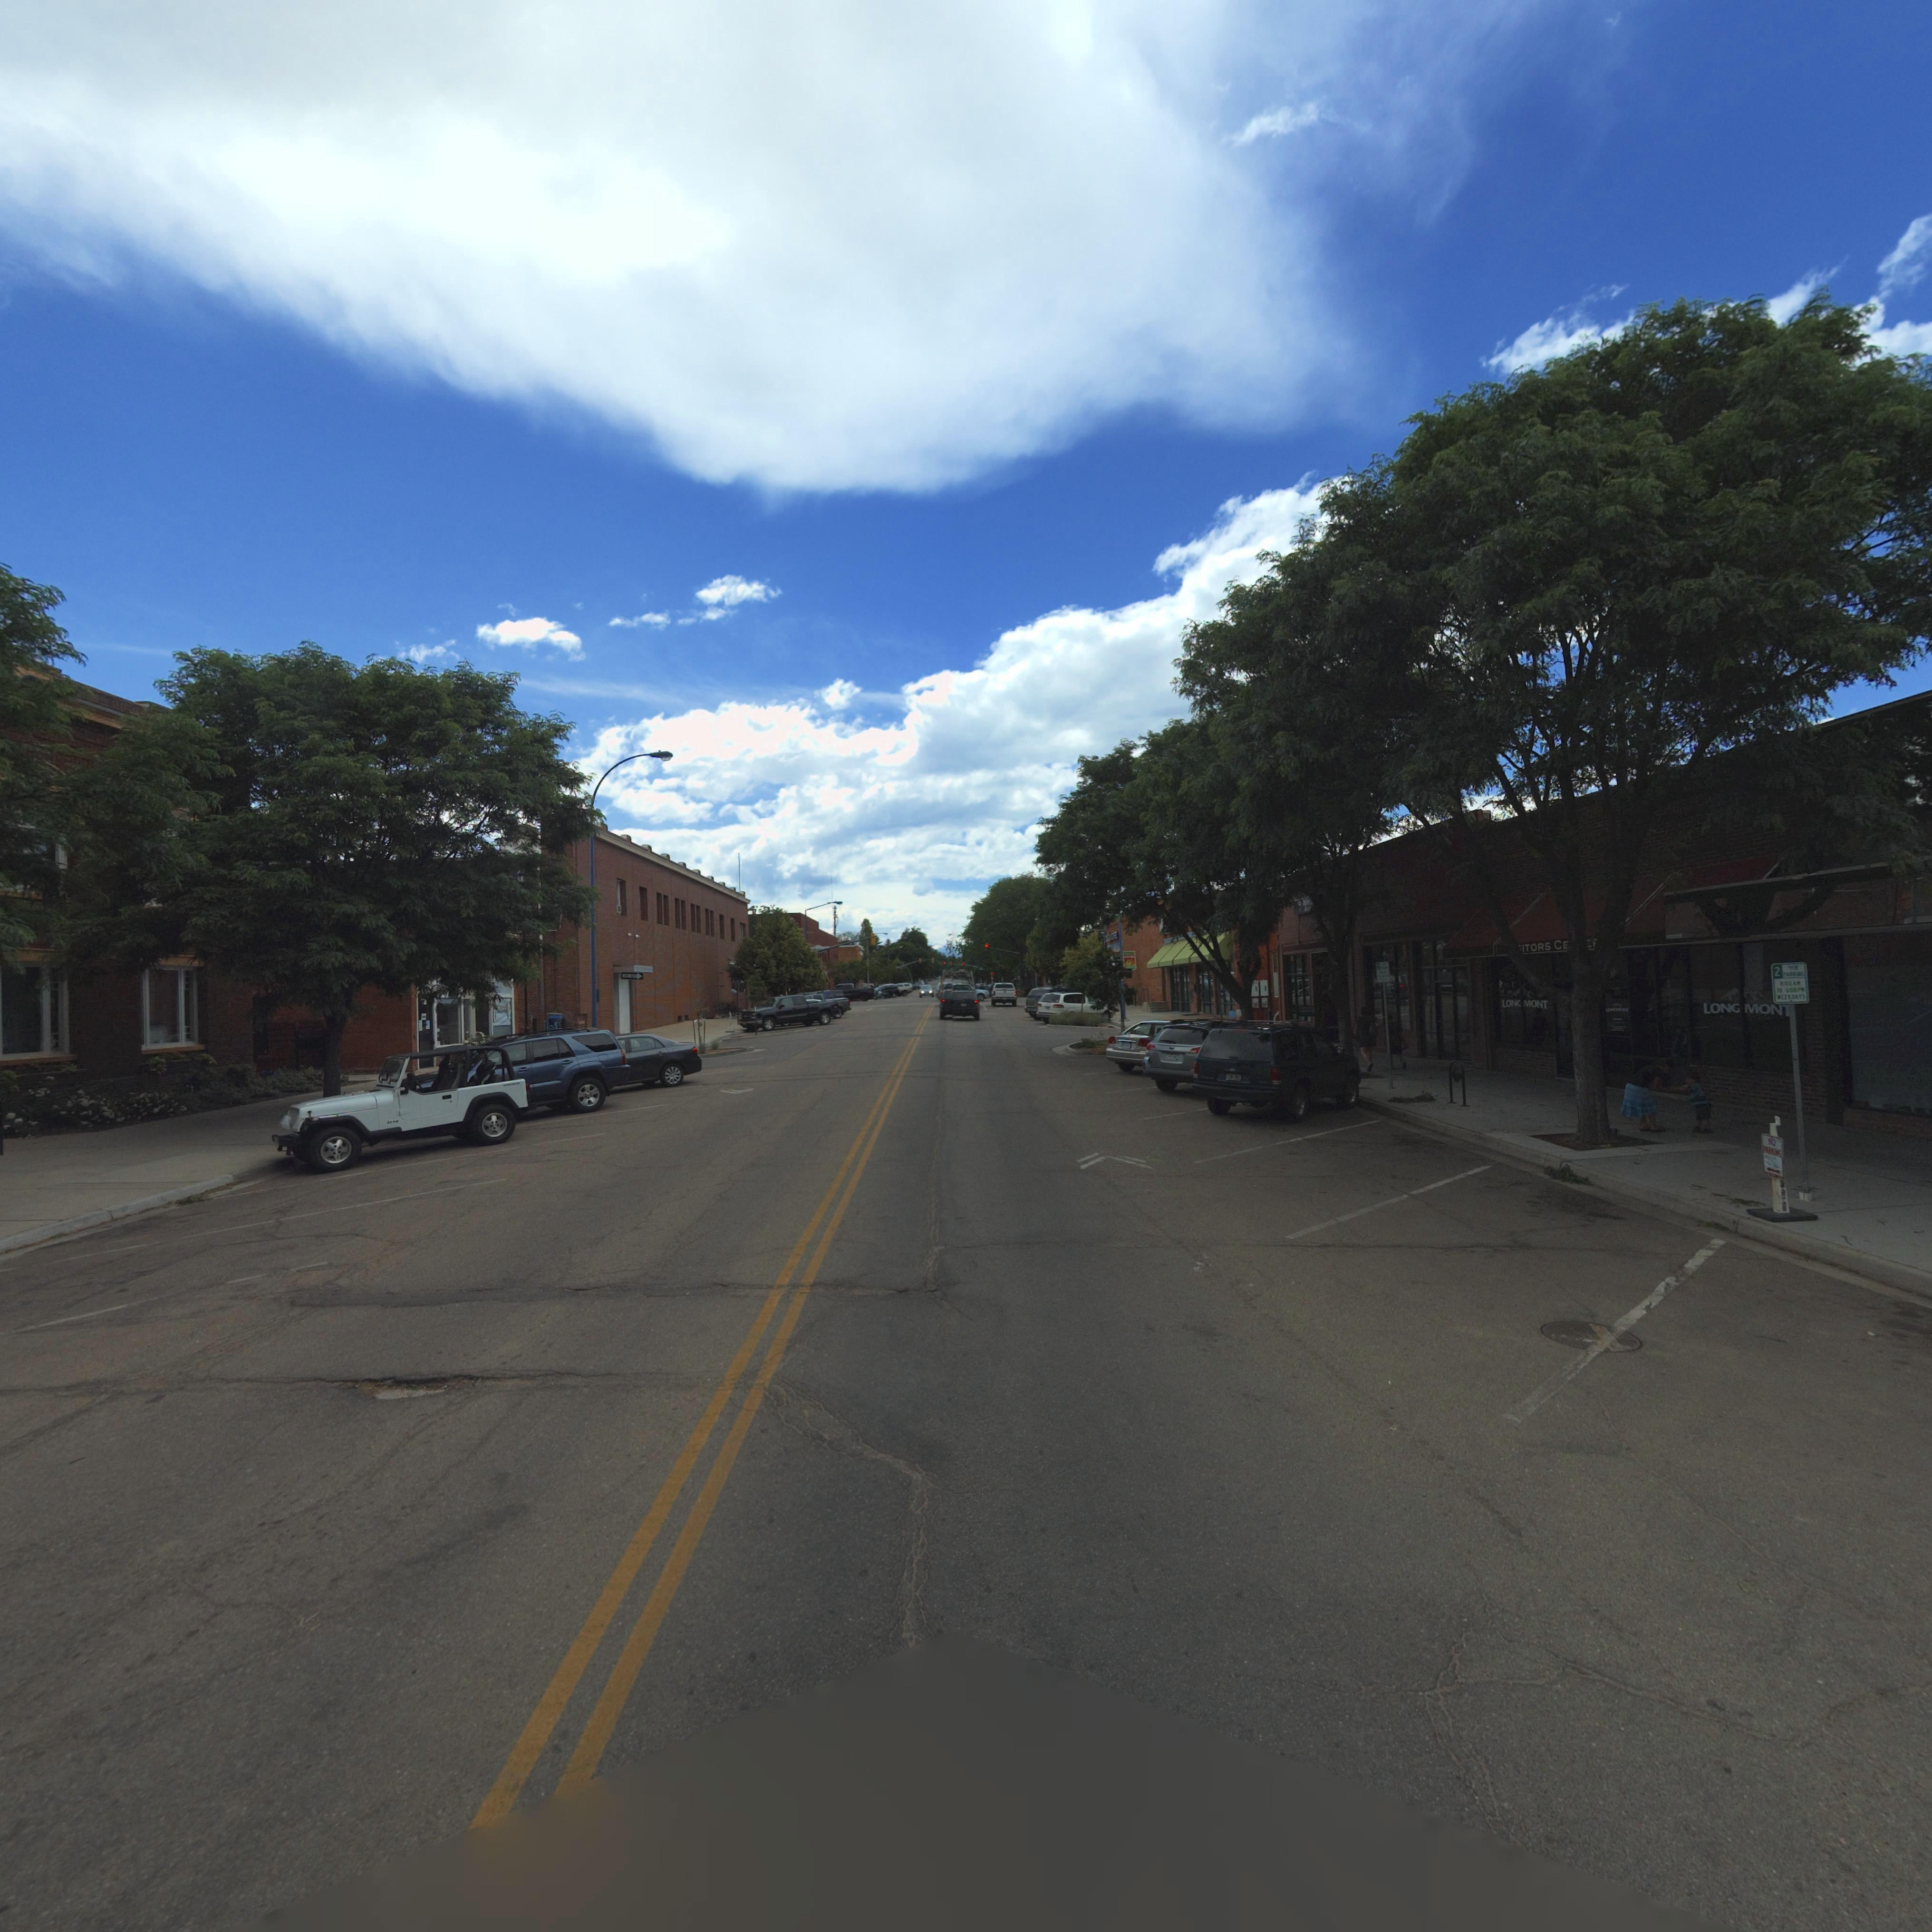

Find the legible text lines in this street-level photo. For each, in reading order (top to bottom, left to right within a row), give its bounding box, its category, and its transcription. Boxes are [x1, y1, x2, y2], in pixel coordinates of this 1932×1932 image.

[1301, 897, 1314, 907] BusinessName: RE**
[1522, 940, 1568, 952] BusinessName: ITORS C*